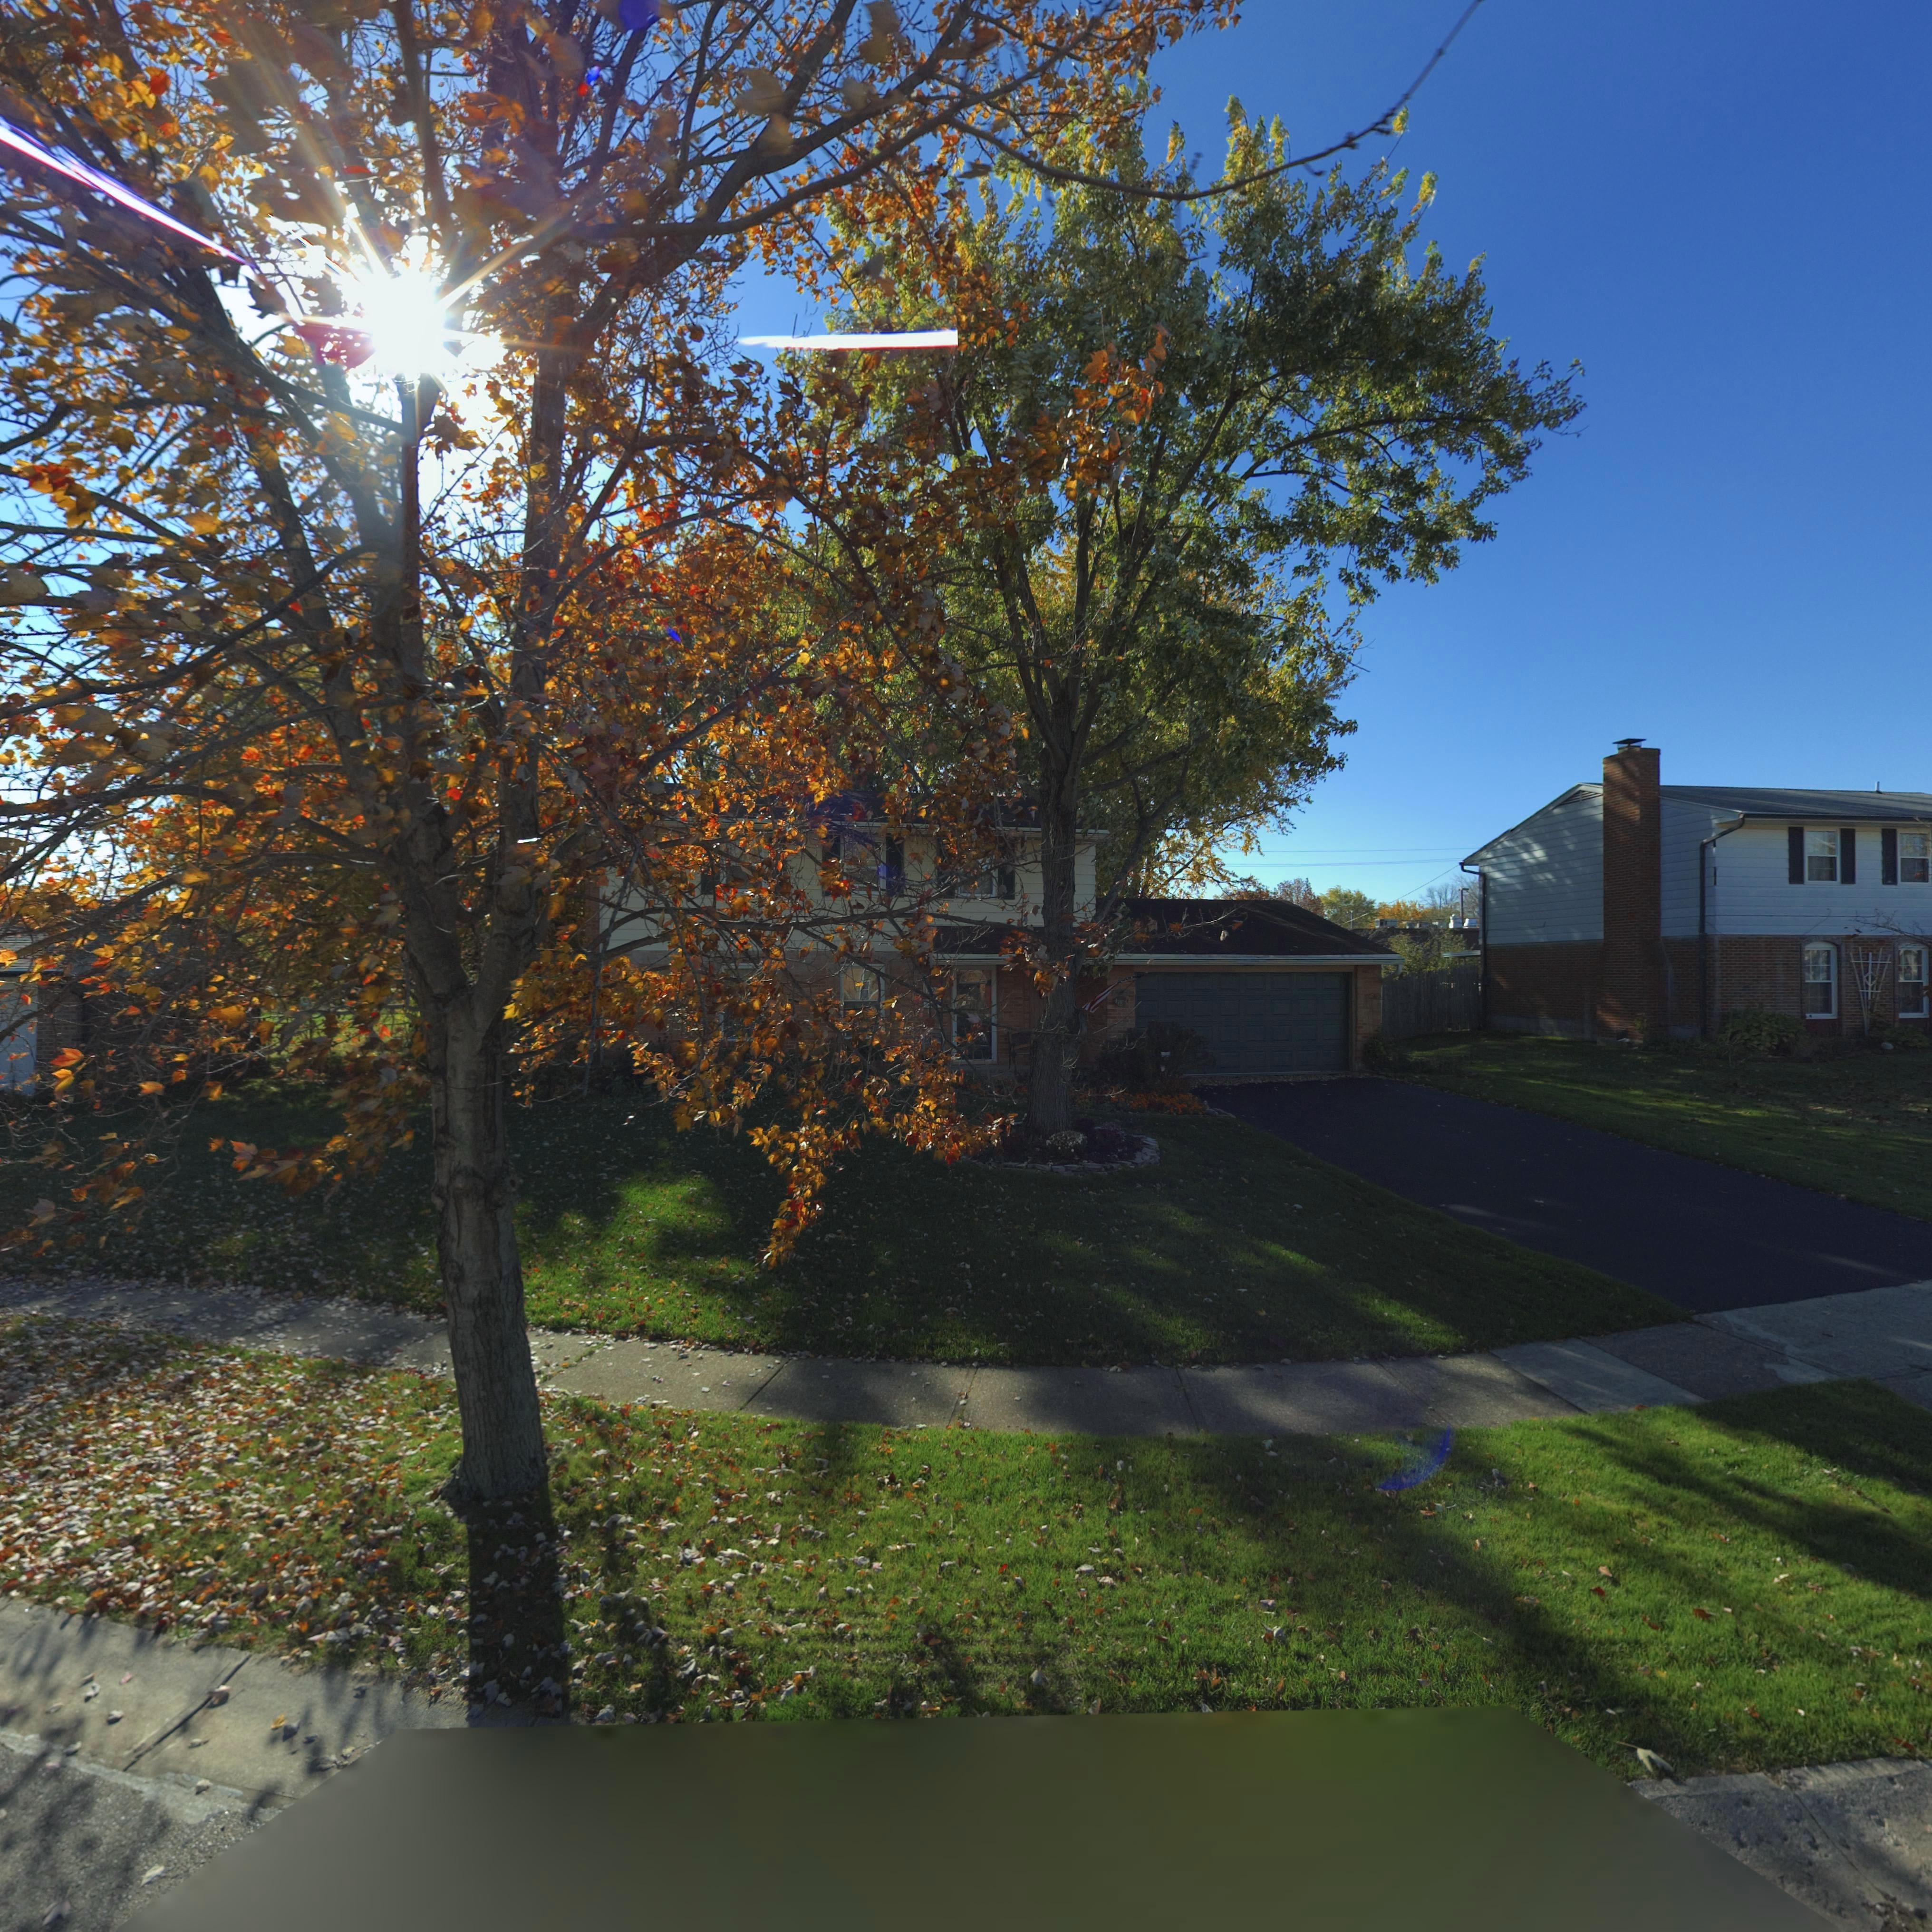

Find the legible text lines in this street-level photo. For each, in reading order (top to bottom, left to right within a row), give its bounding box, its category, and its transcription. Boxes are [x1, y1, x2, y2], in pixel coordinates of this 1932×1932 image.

[932, 988, 936, 993] StreetNumber: 2